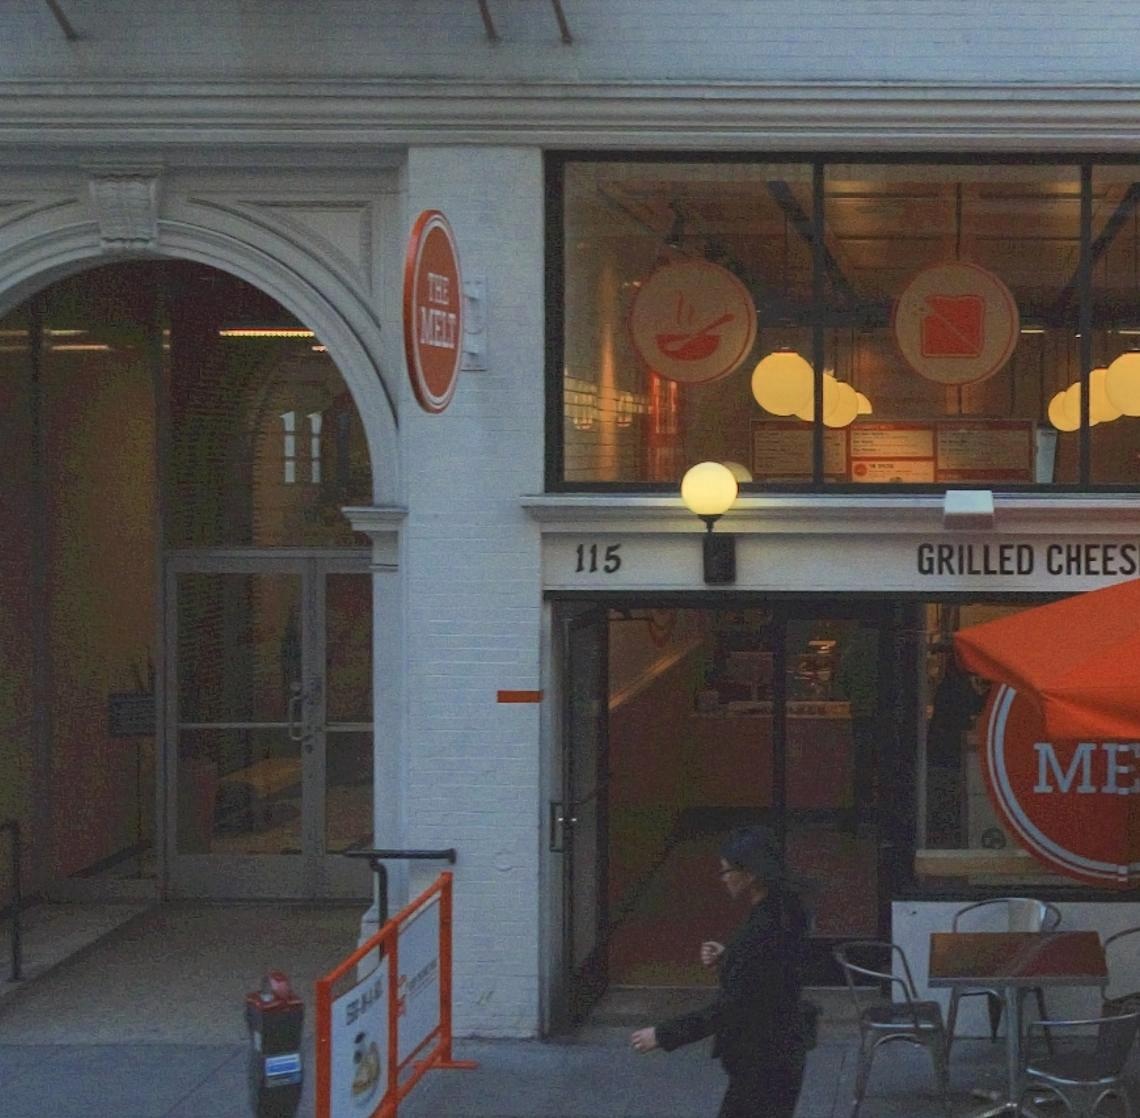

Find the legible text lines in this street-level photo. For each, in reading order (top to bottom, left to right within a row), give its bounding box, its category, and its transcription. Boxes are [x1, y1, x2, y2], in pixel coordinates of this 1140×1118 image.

[426, 269, 450, 308] BusinessName: THE
[419, 304, 458, 350] BusinessName: MELT
[277, 407, 355, 488] StreetNumber: 111
[574, 542, 622, 575] StreetNumber: 115
[915, 541, 1137, 576] None: GRILLED CHEES
[1029, 740, 1099, 797] BusinessName: M